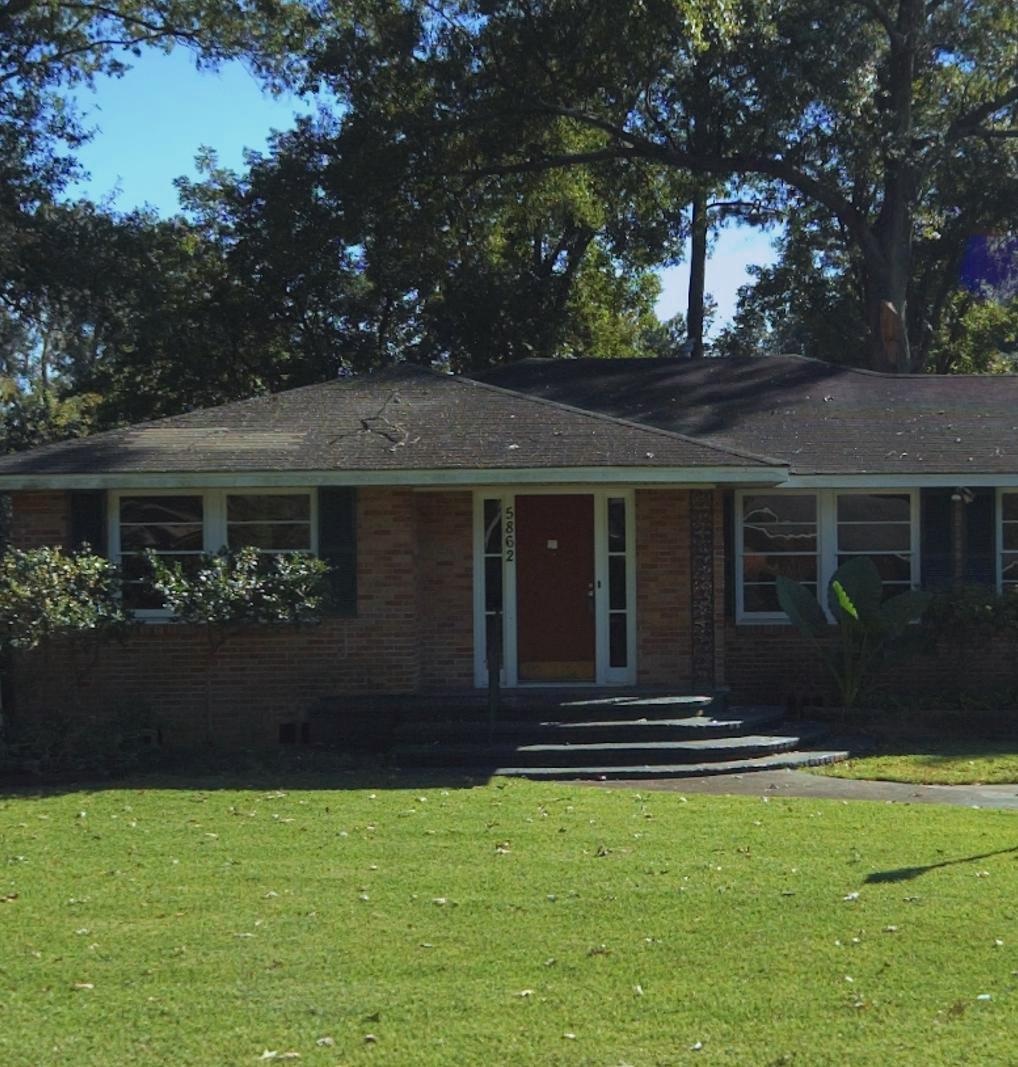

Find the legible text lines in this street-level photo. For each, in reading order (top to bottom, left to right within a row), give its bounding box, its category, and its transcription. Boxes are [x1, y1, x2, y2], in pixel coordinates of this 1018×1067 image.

[504, 505, 515, 563] StreetNumber: 5862